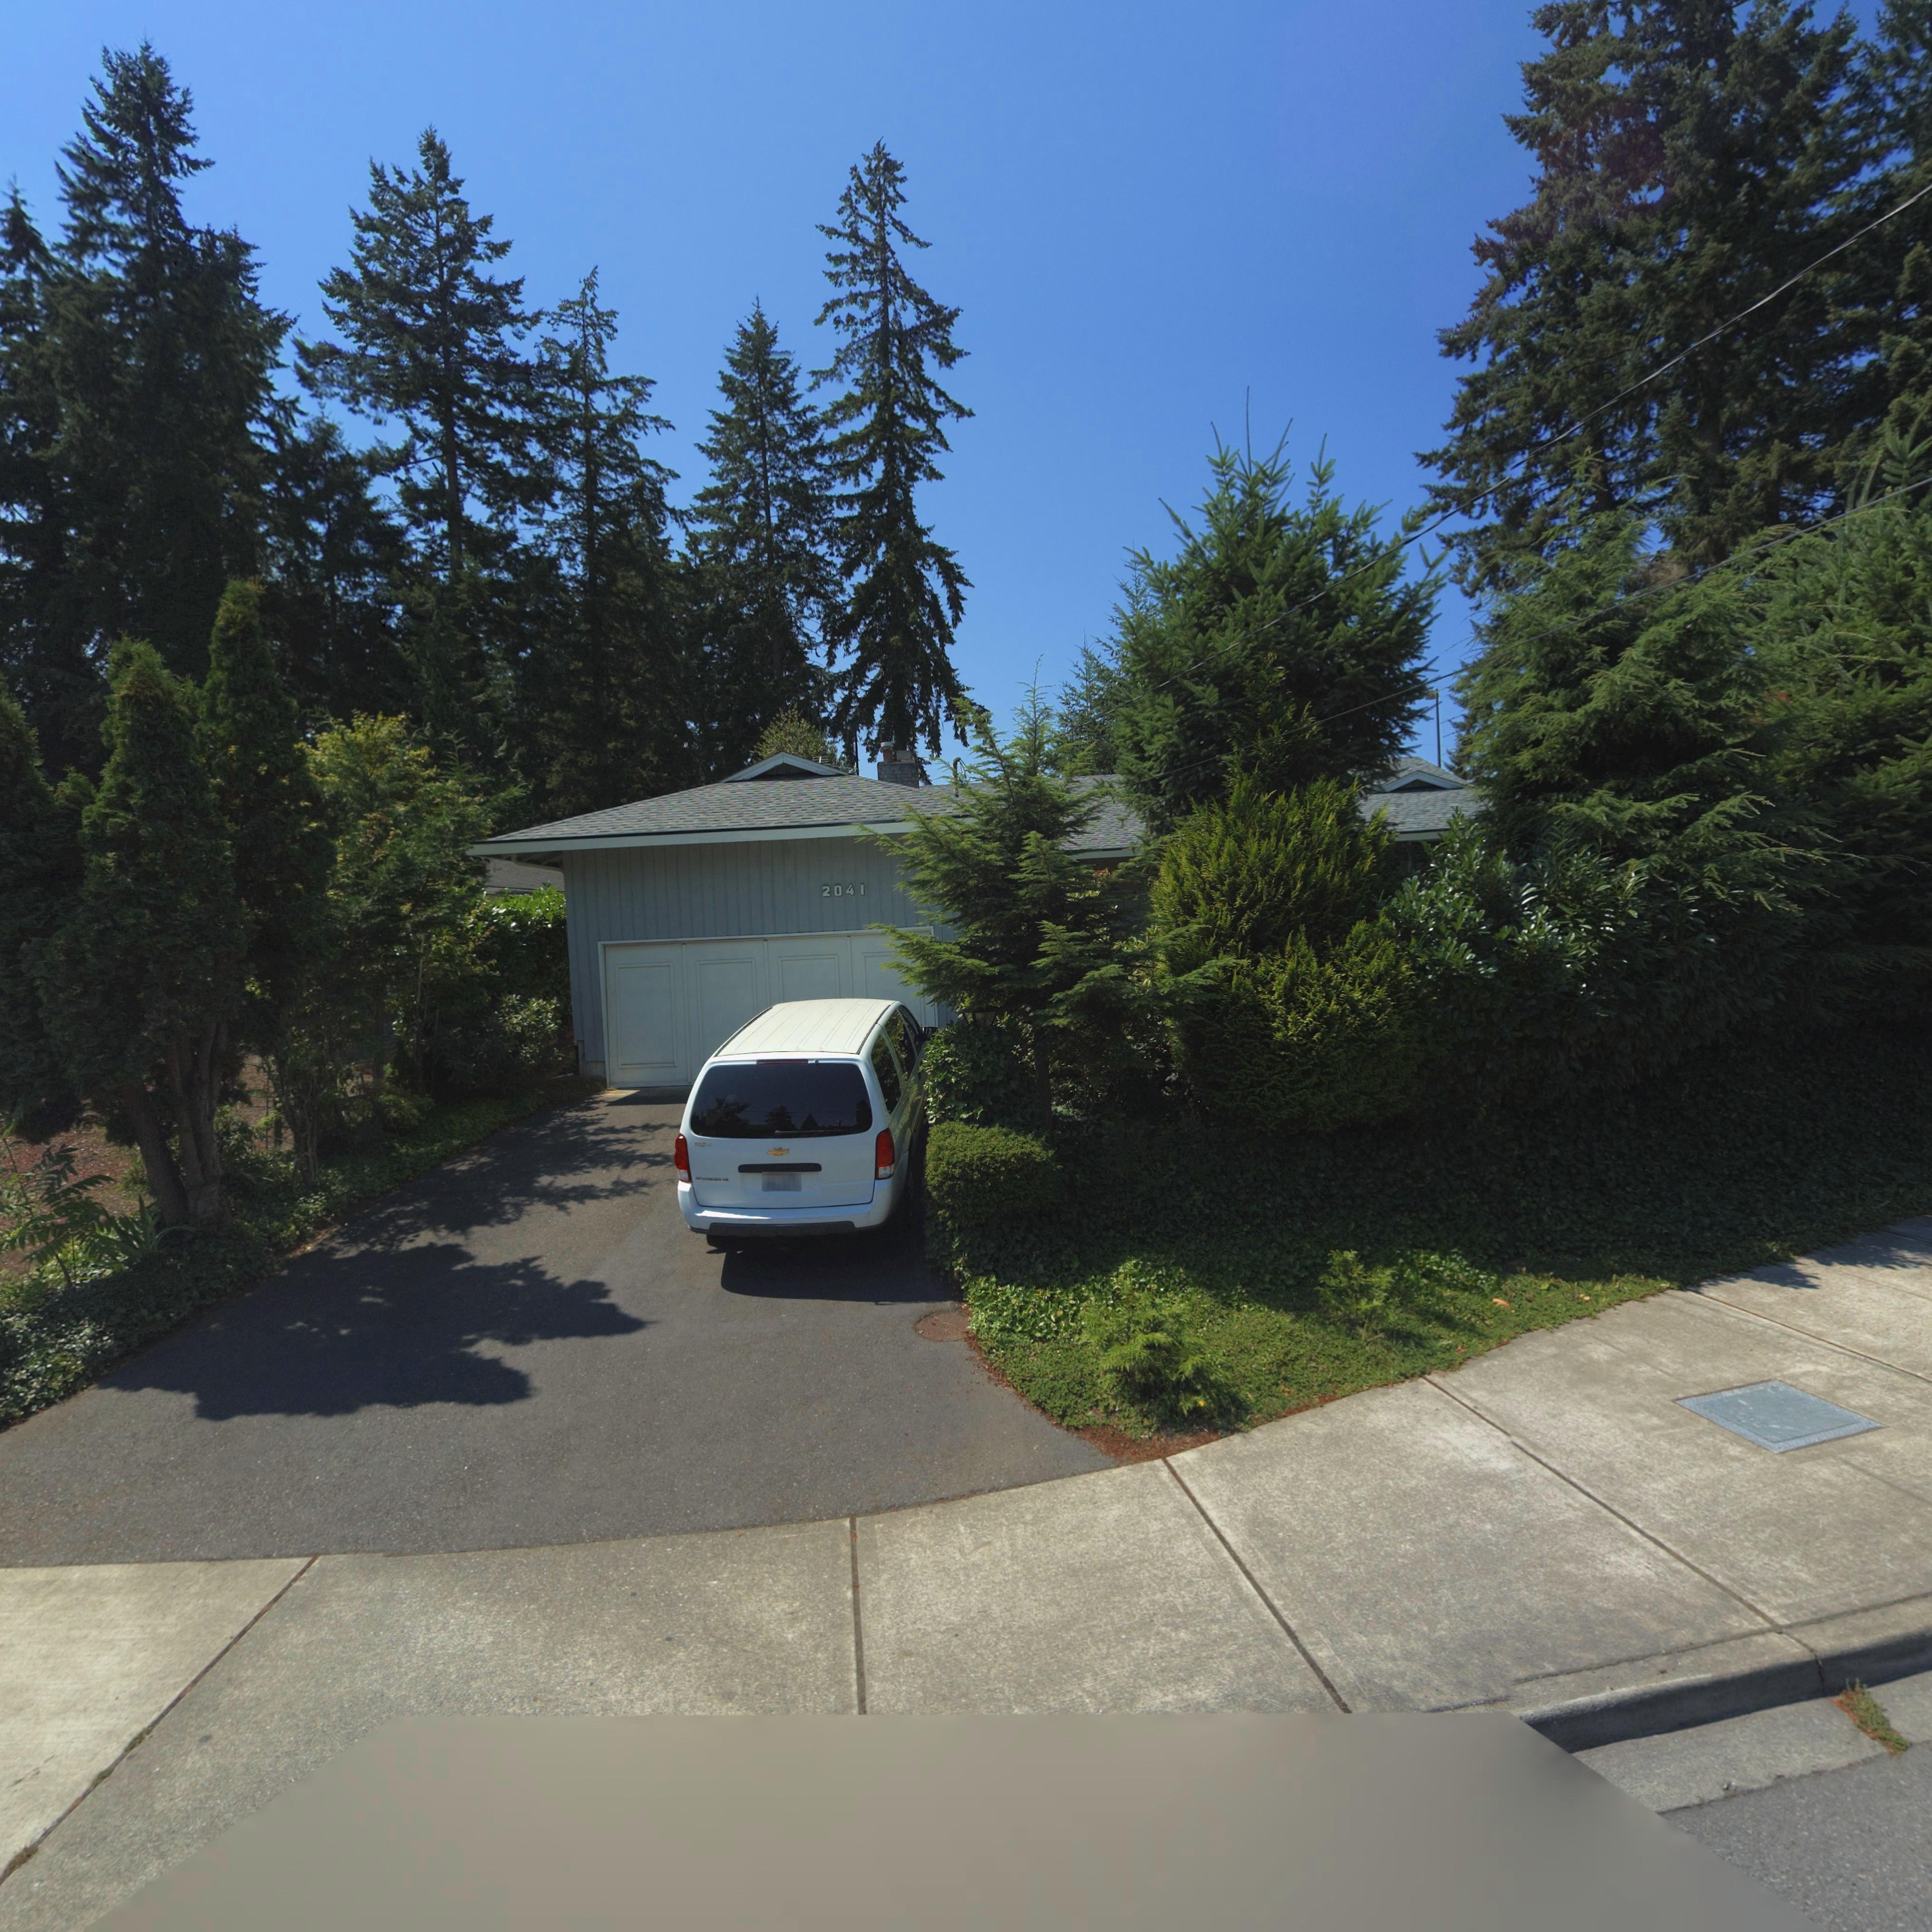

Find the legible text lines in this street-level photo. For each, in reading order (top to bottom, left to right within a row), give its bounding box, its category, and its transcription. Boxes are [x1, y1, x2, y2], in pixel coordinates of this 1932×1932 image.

[822, 885, 863, 896] StreetNumber: 2041